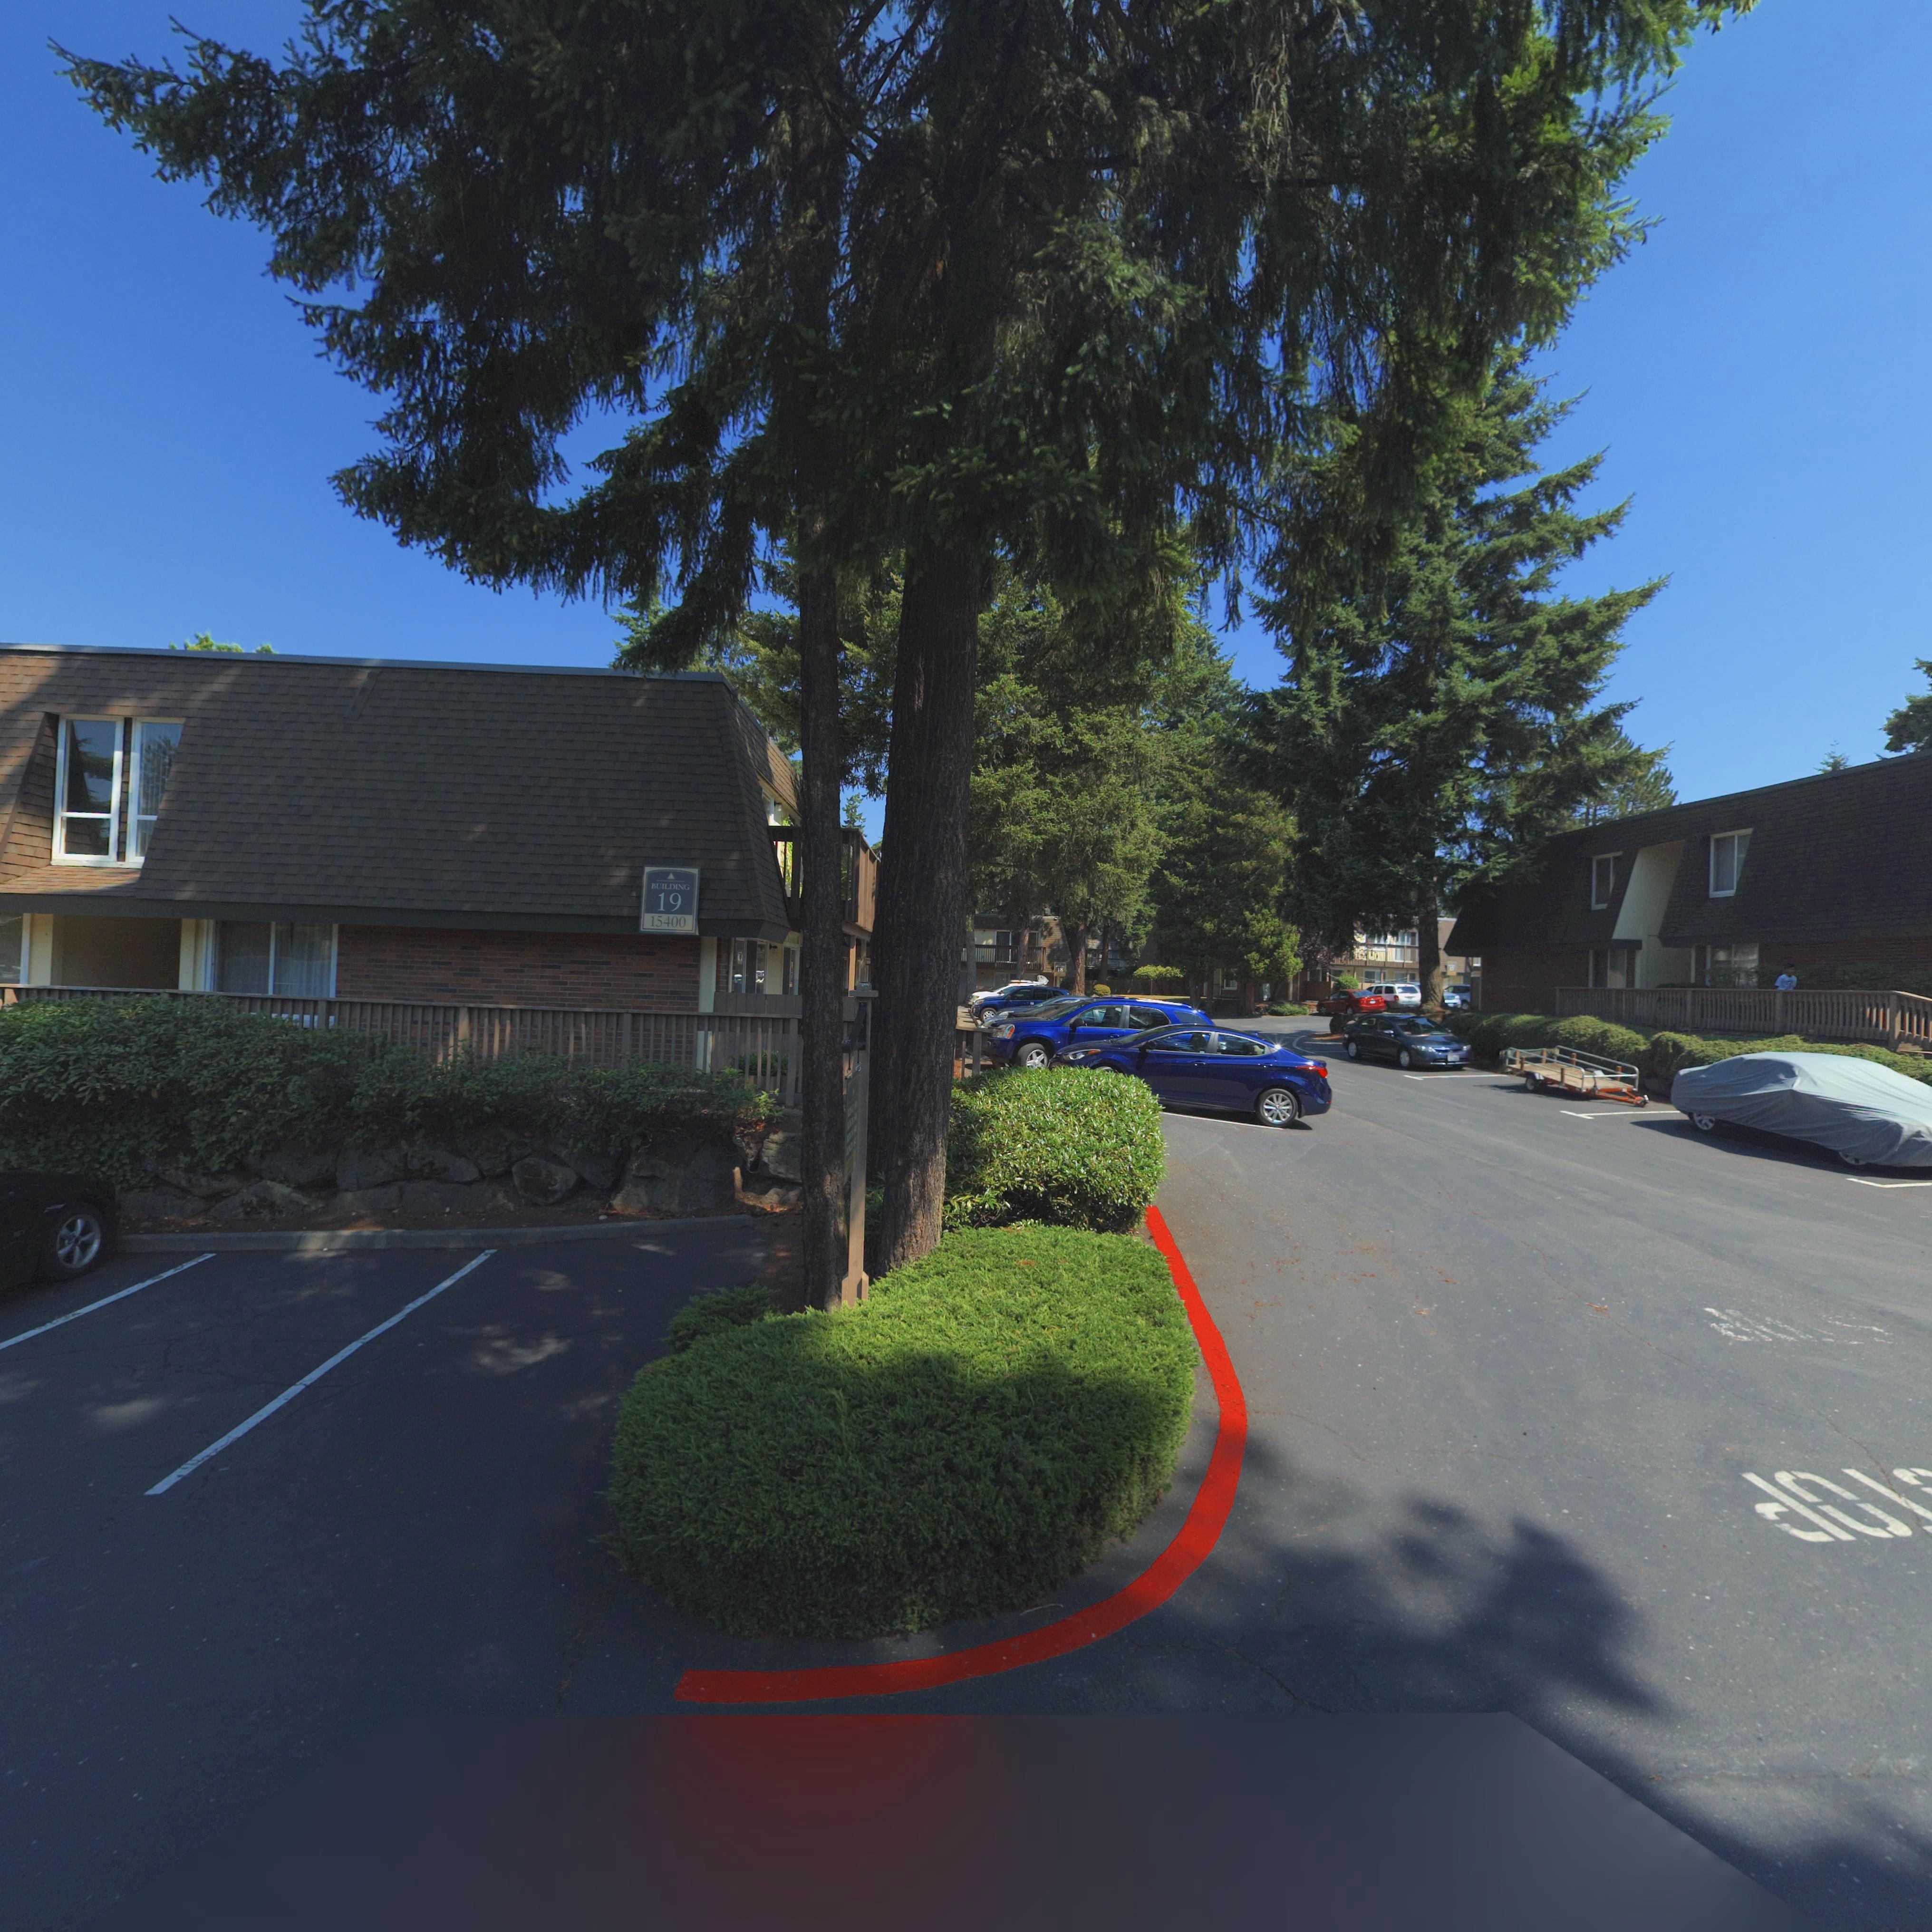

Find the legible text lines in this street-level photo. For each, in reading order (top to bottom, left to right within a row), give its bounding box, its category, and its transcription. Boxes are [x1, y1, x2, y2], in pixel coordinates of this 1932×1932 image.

[651, 882, 689, 891] SecondaryUnitDesignator: BUILDING
[657, 891, 682, 912] SecondaryUnitDesignator: 19
[649, 915, 686, 927] StreetNumber: 15400